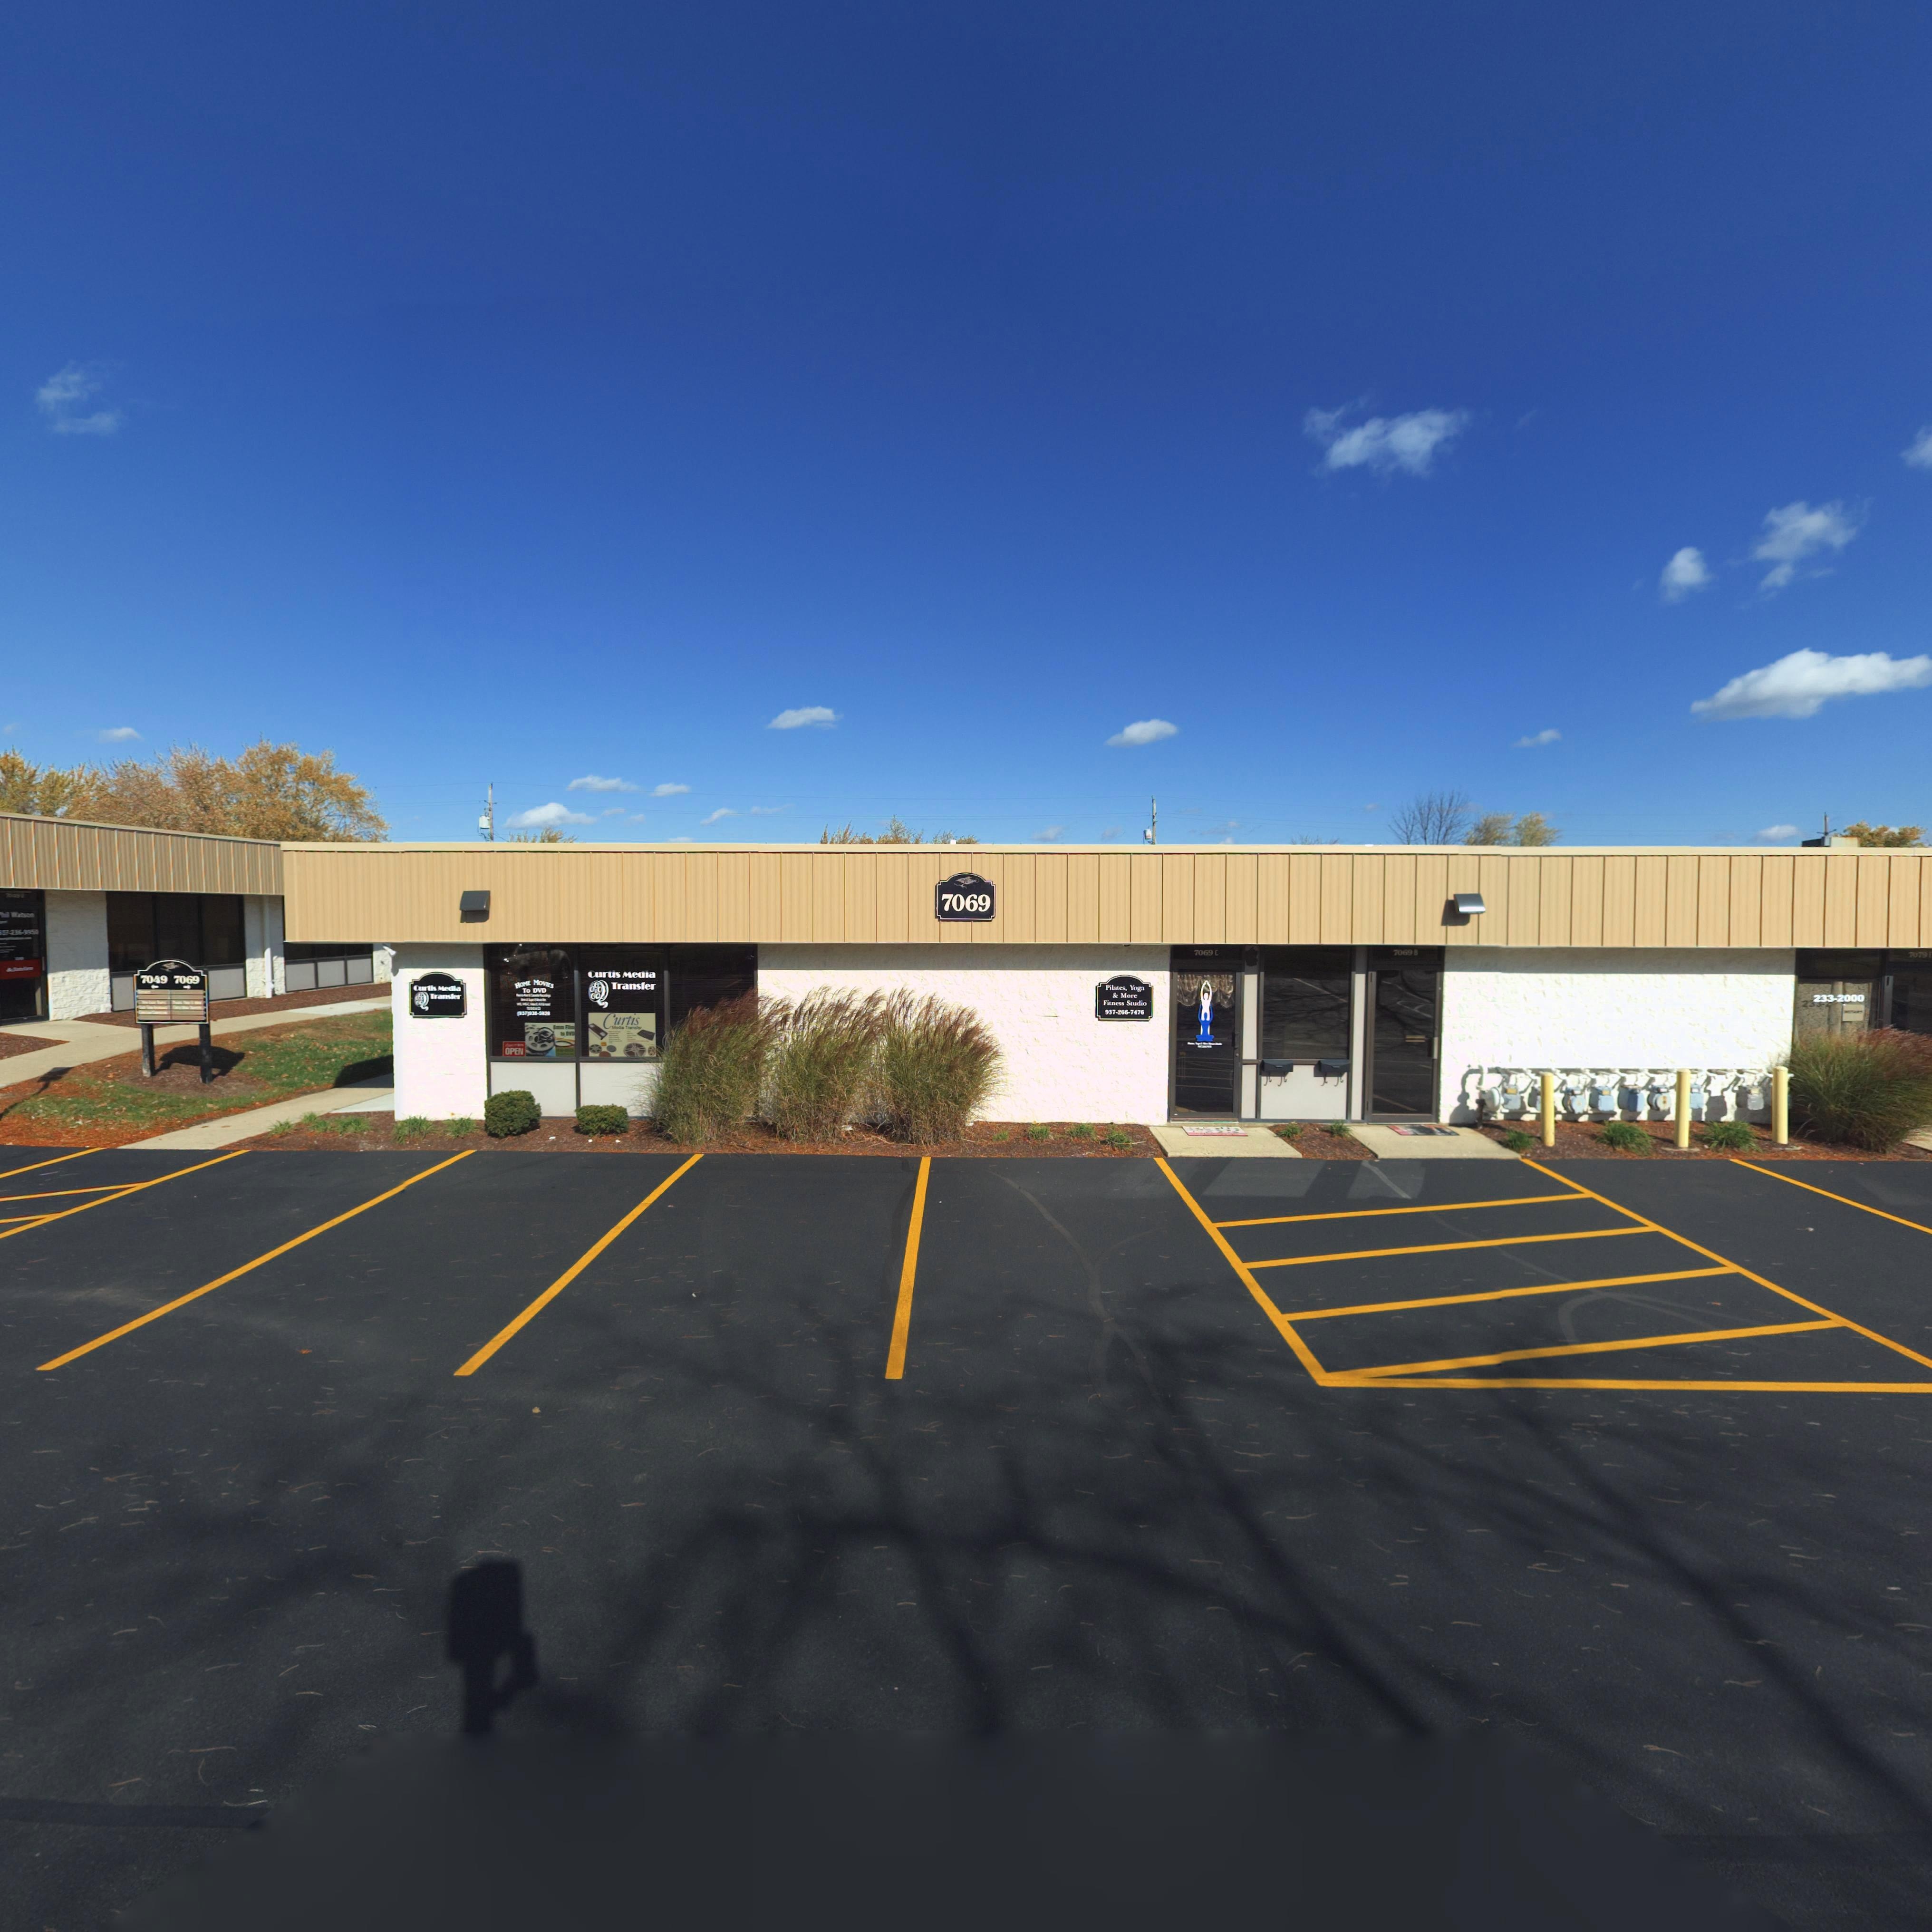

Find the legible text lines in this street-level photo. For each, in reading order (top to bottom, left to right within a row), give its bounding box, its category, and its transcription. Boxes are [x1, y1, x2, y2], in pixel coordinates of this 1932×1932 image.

[940, 892, 992, 914] StreetNumber: 7069
[1192, 948, 1220, 957] StreetNumber: 7069 C
[1391, 948, 1420, 957] StreetNumber: 7069 B
[1907, 950, 1929, 960] StreetNumber: 7079
[139, 974, 170, 985] StreetNumber: 7049
[172, 974, 202, 985] StreetNumber: 7069